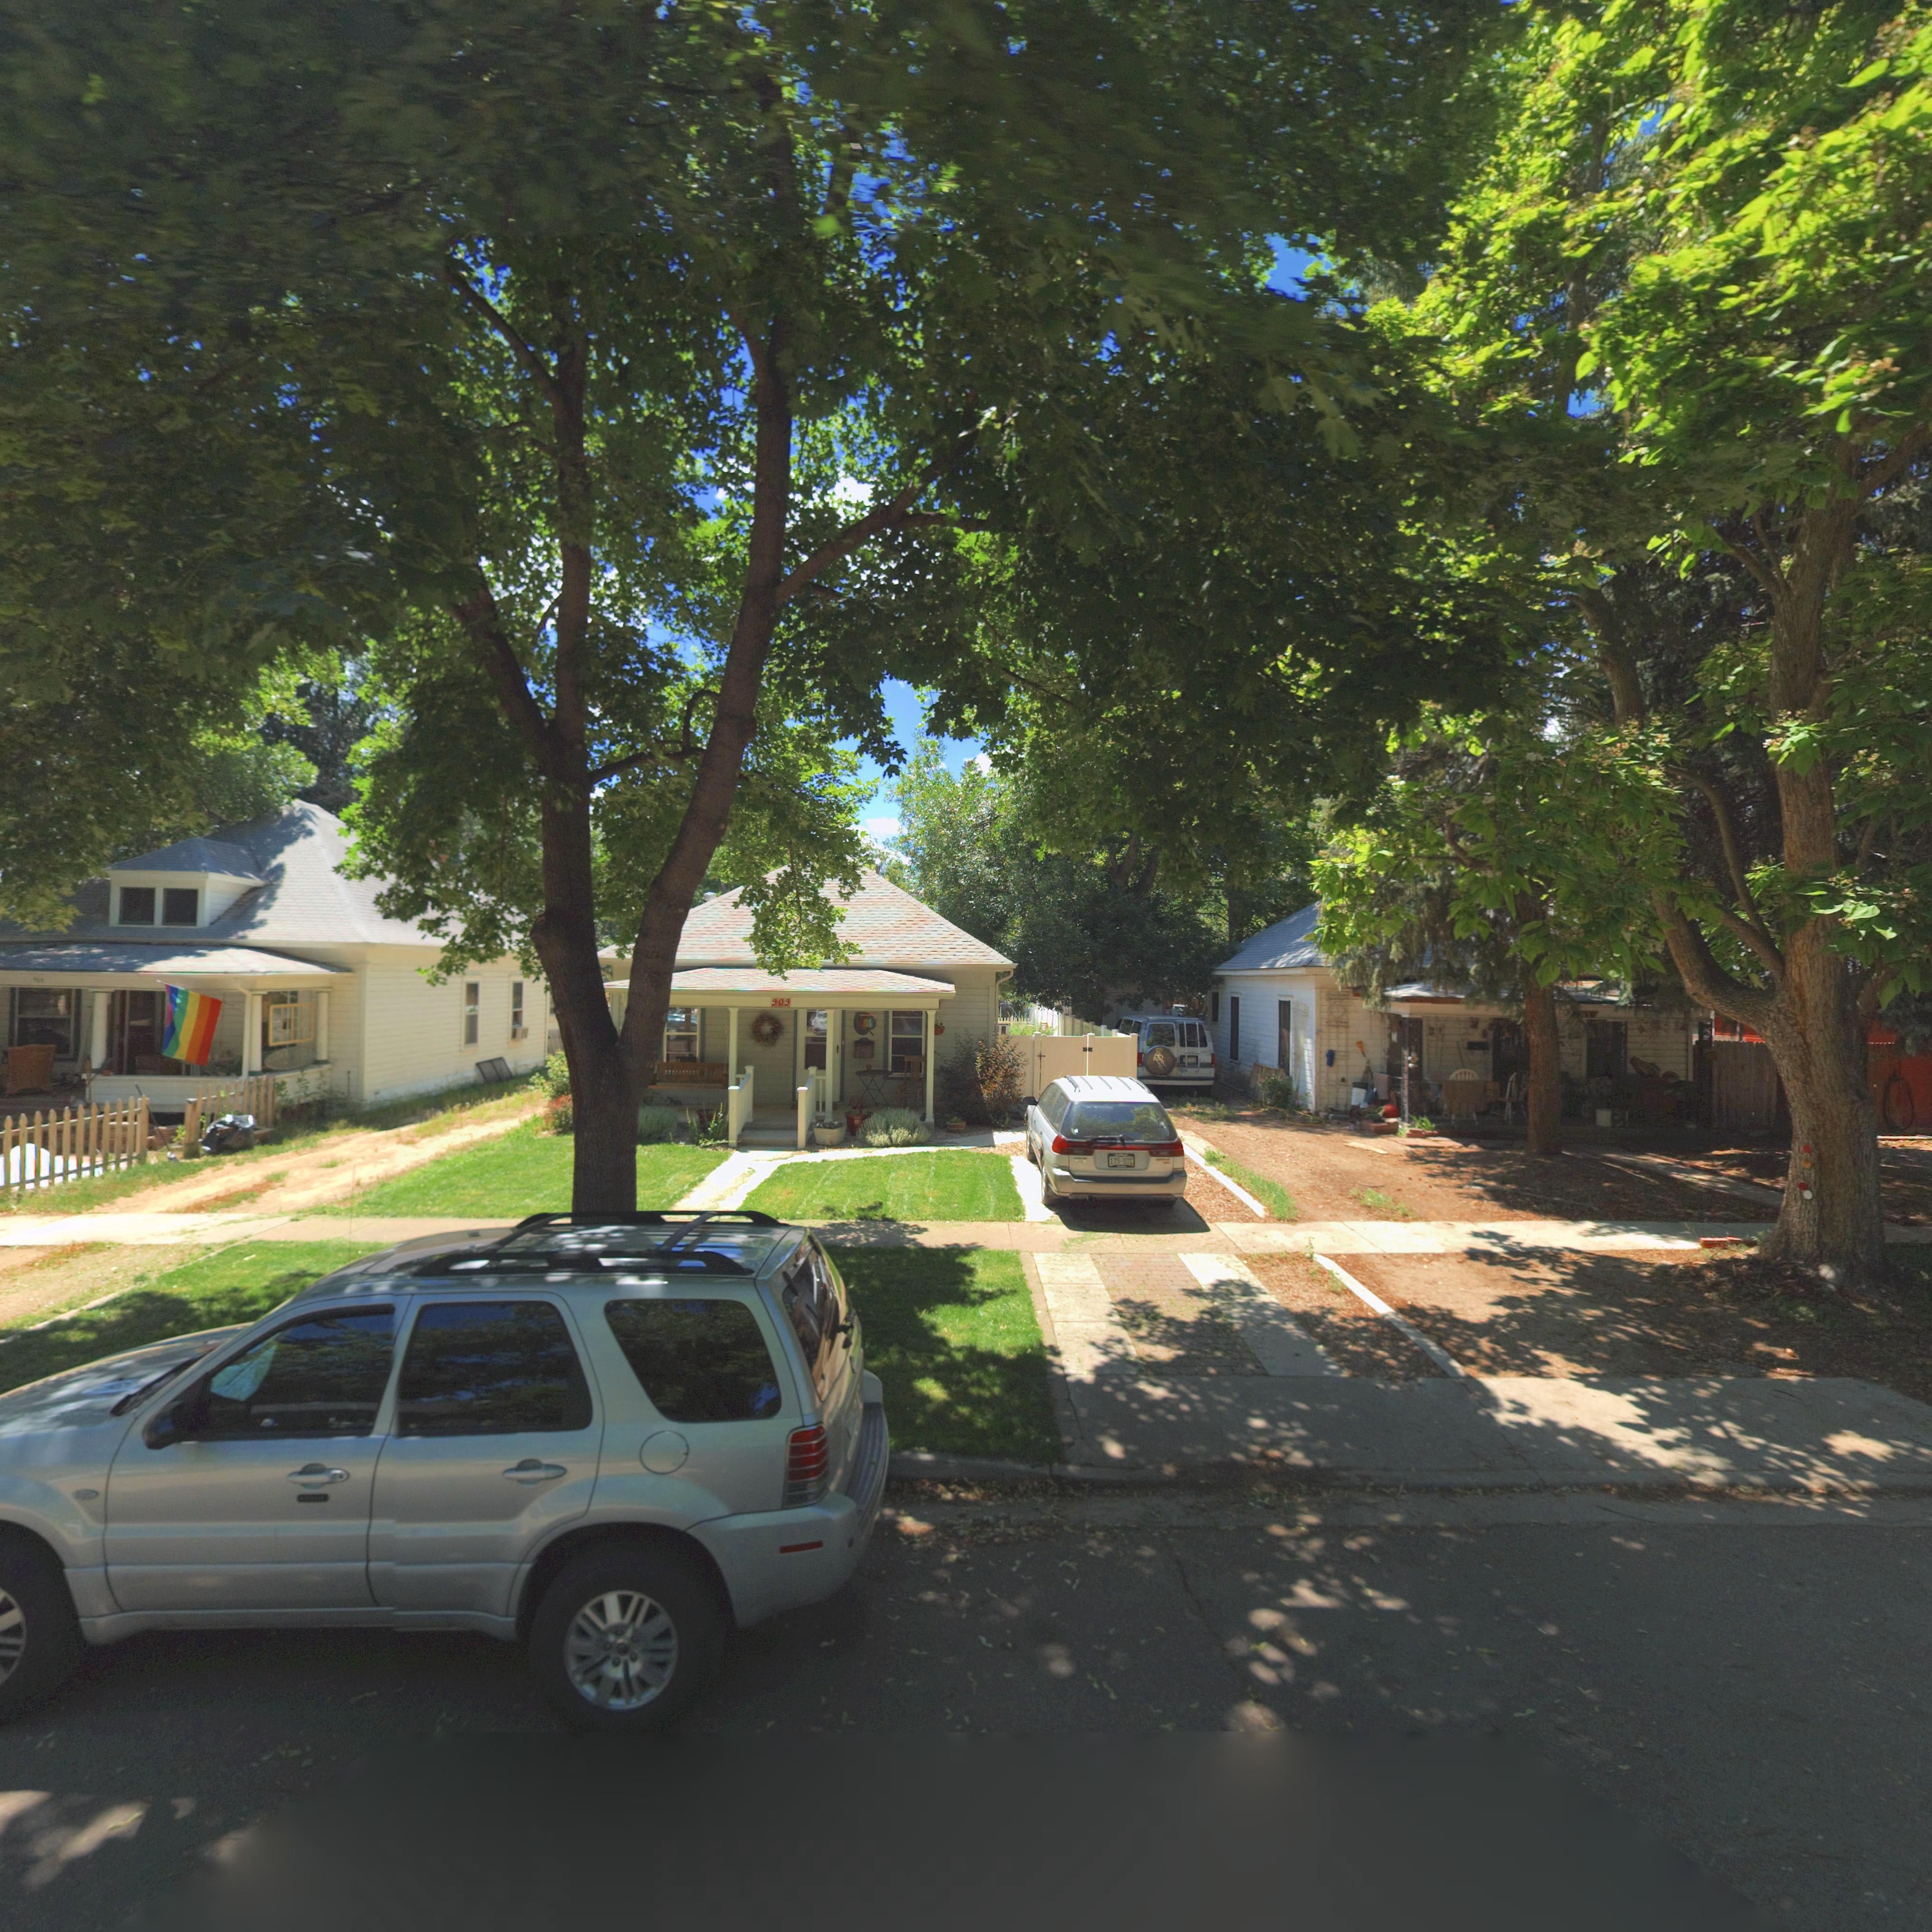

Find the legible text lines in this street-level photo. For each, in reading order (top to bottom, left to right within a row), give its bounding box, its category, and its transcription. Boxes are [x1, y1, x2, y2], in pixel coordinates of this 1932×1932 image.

[31, 976, 45, 984] StreetNumber: *05
[771, 998, 790, 1005] StreetNumber: 909